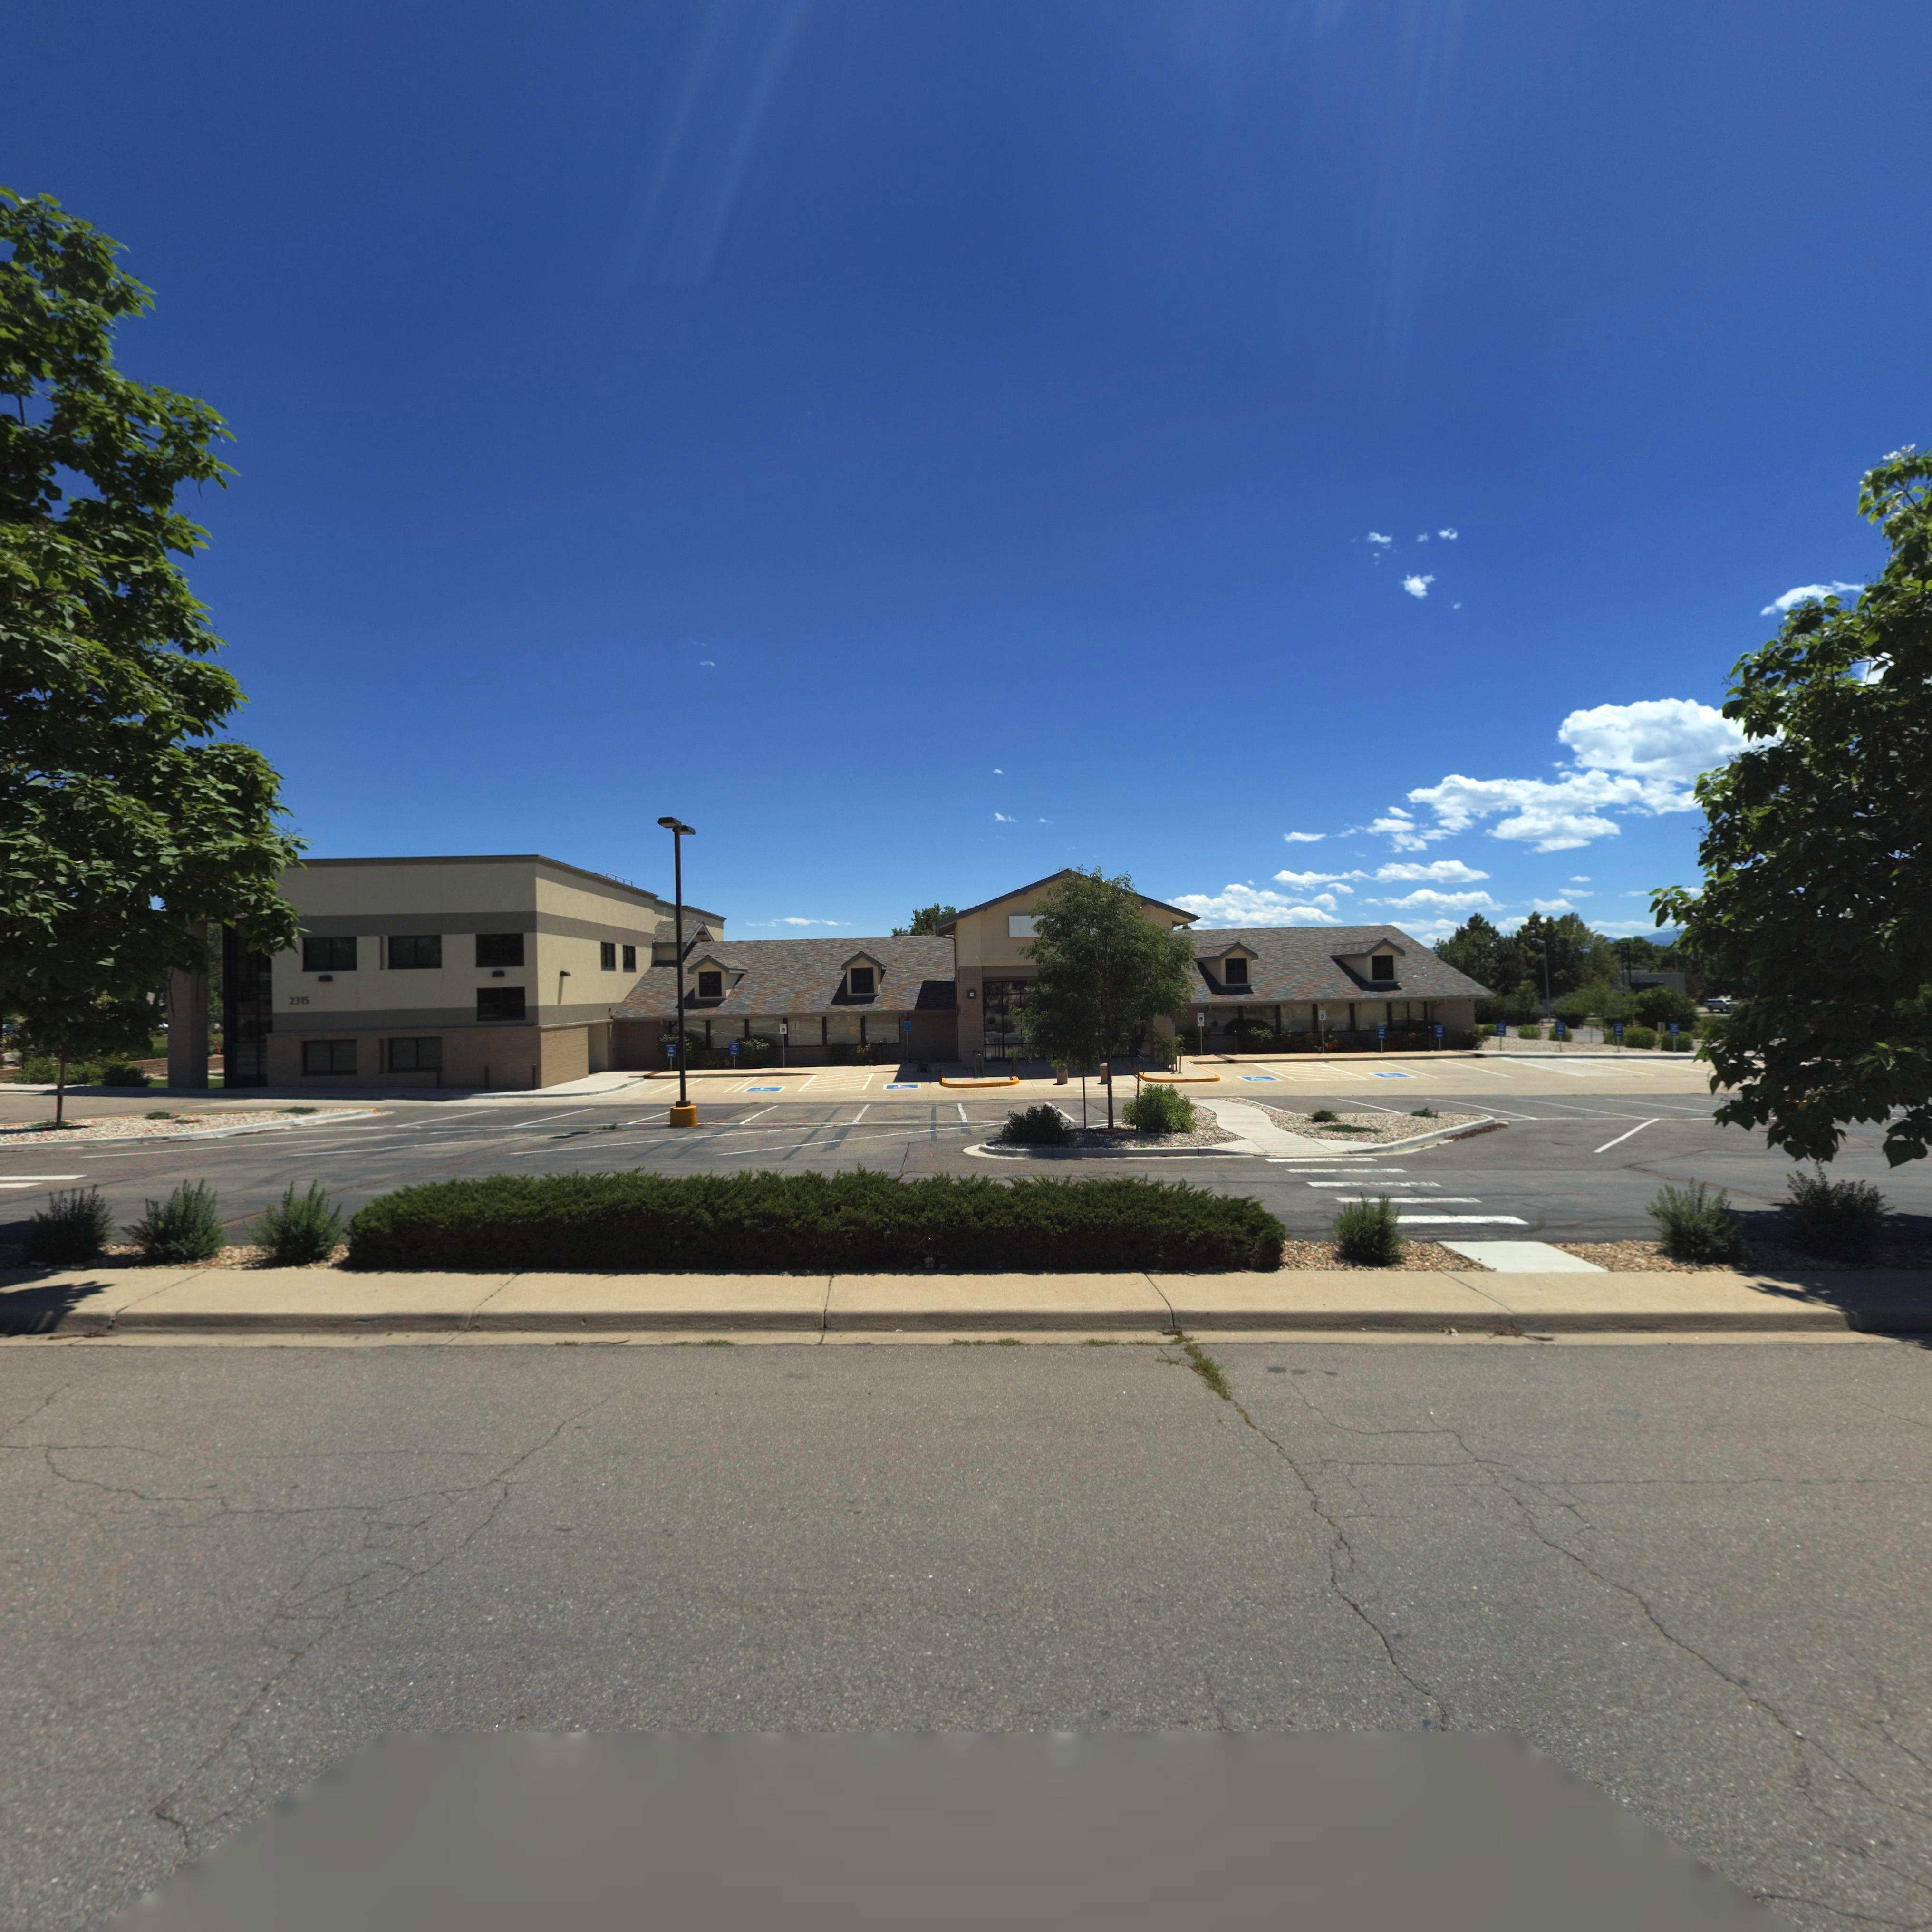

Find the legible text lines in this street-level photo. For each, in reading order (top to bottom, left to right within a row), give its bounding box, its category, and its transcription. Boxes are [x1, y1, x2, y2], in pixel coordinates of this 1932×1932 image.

[289, 996, 309, 1005] StreetNumber: 2315